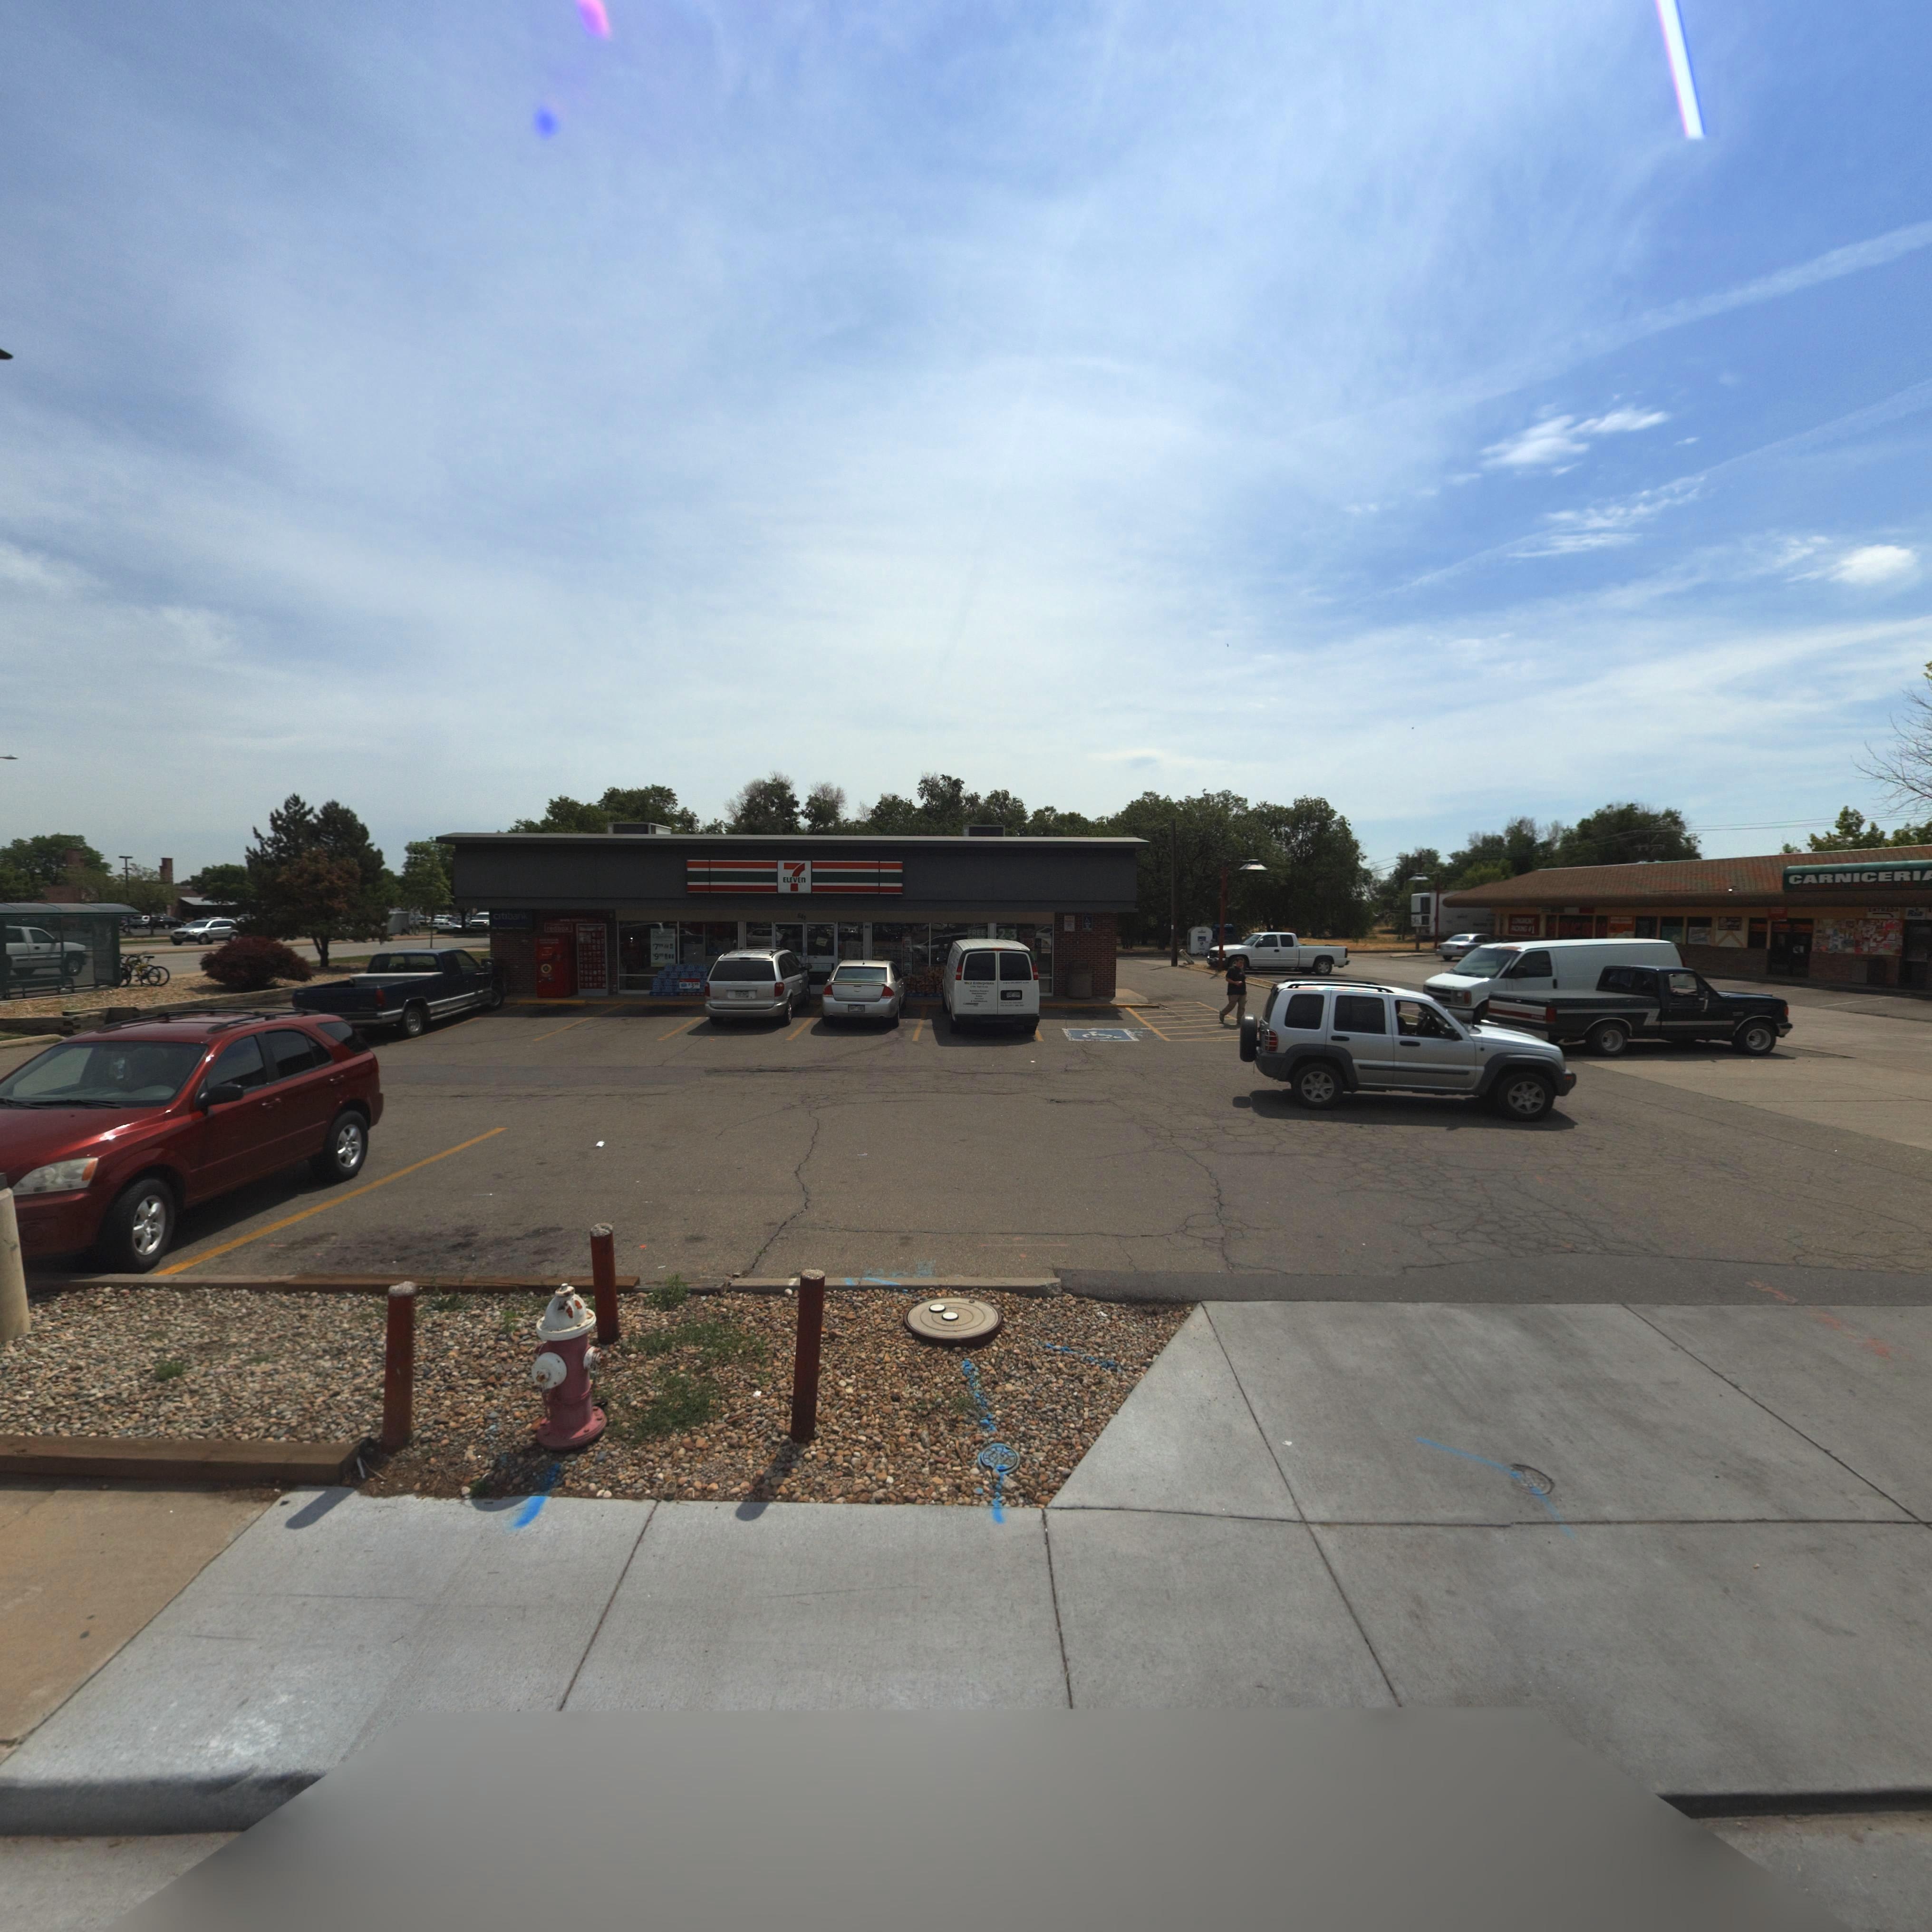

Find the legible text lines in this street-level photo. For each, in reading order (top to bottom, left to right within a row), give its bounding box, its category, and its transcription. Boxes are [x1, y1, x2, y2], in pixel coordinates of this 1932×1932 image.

[782, 877, 805, 882] BusinessName: ELEVEn
[783, 861, 805, 892] BusinessName: 7
[1788, 870, 1922, 884] BusinessName: CARNICERI
[796, 912, 806, 920] StreetNumber: 841